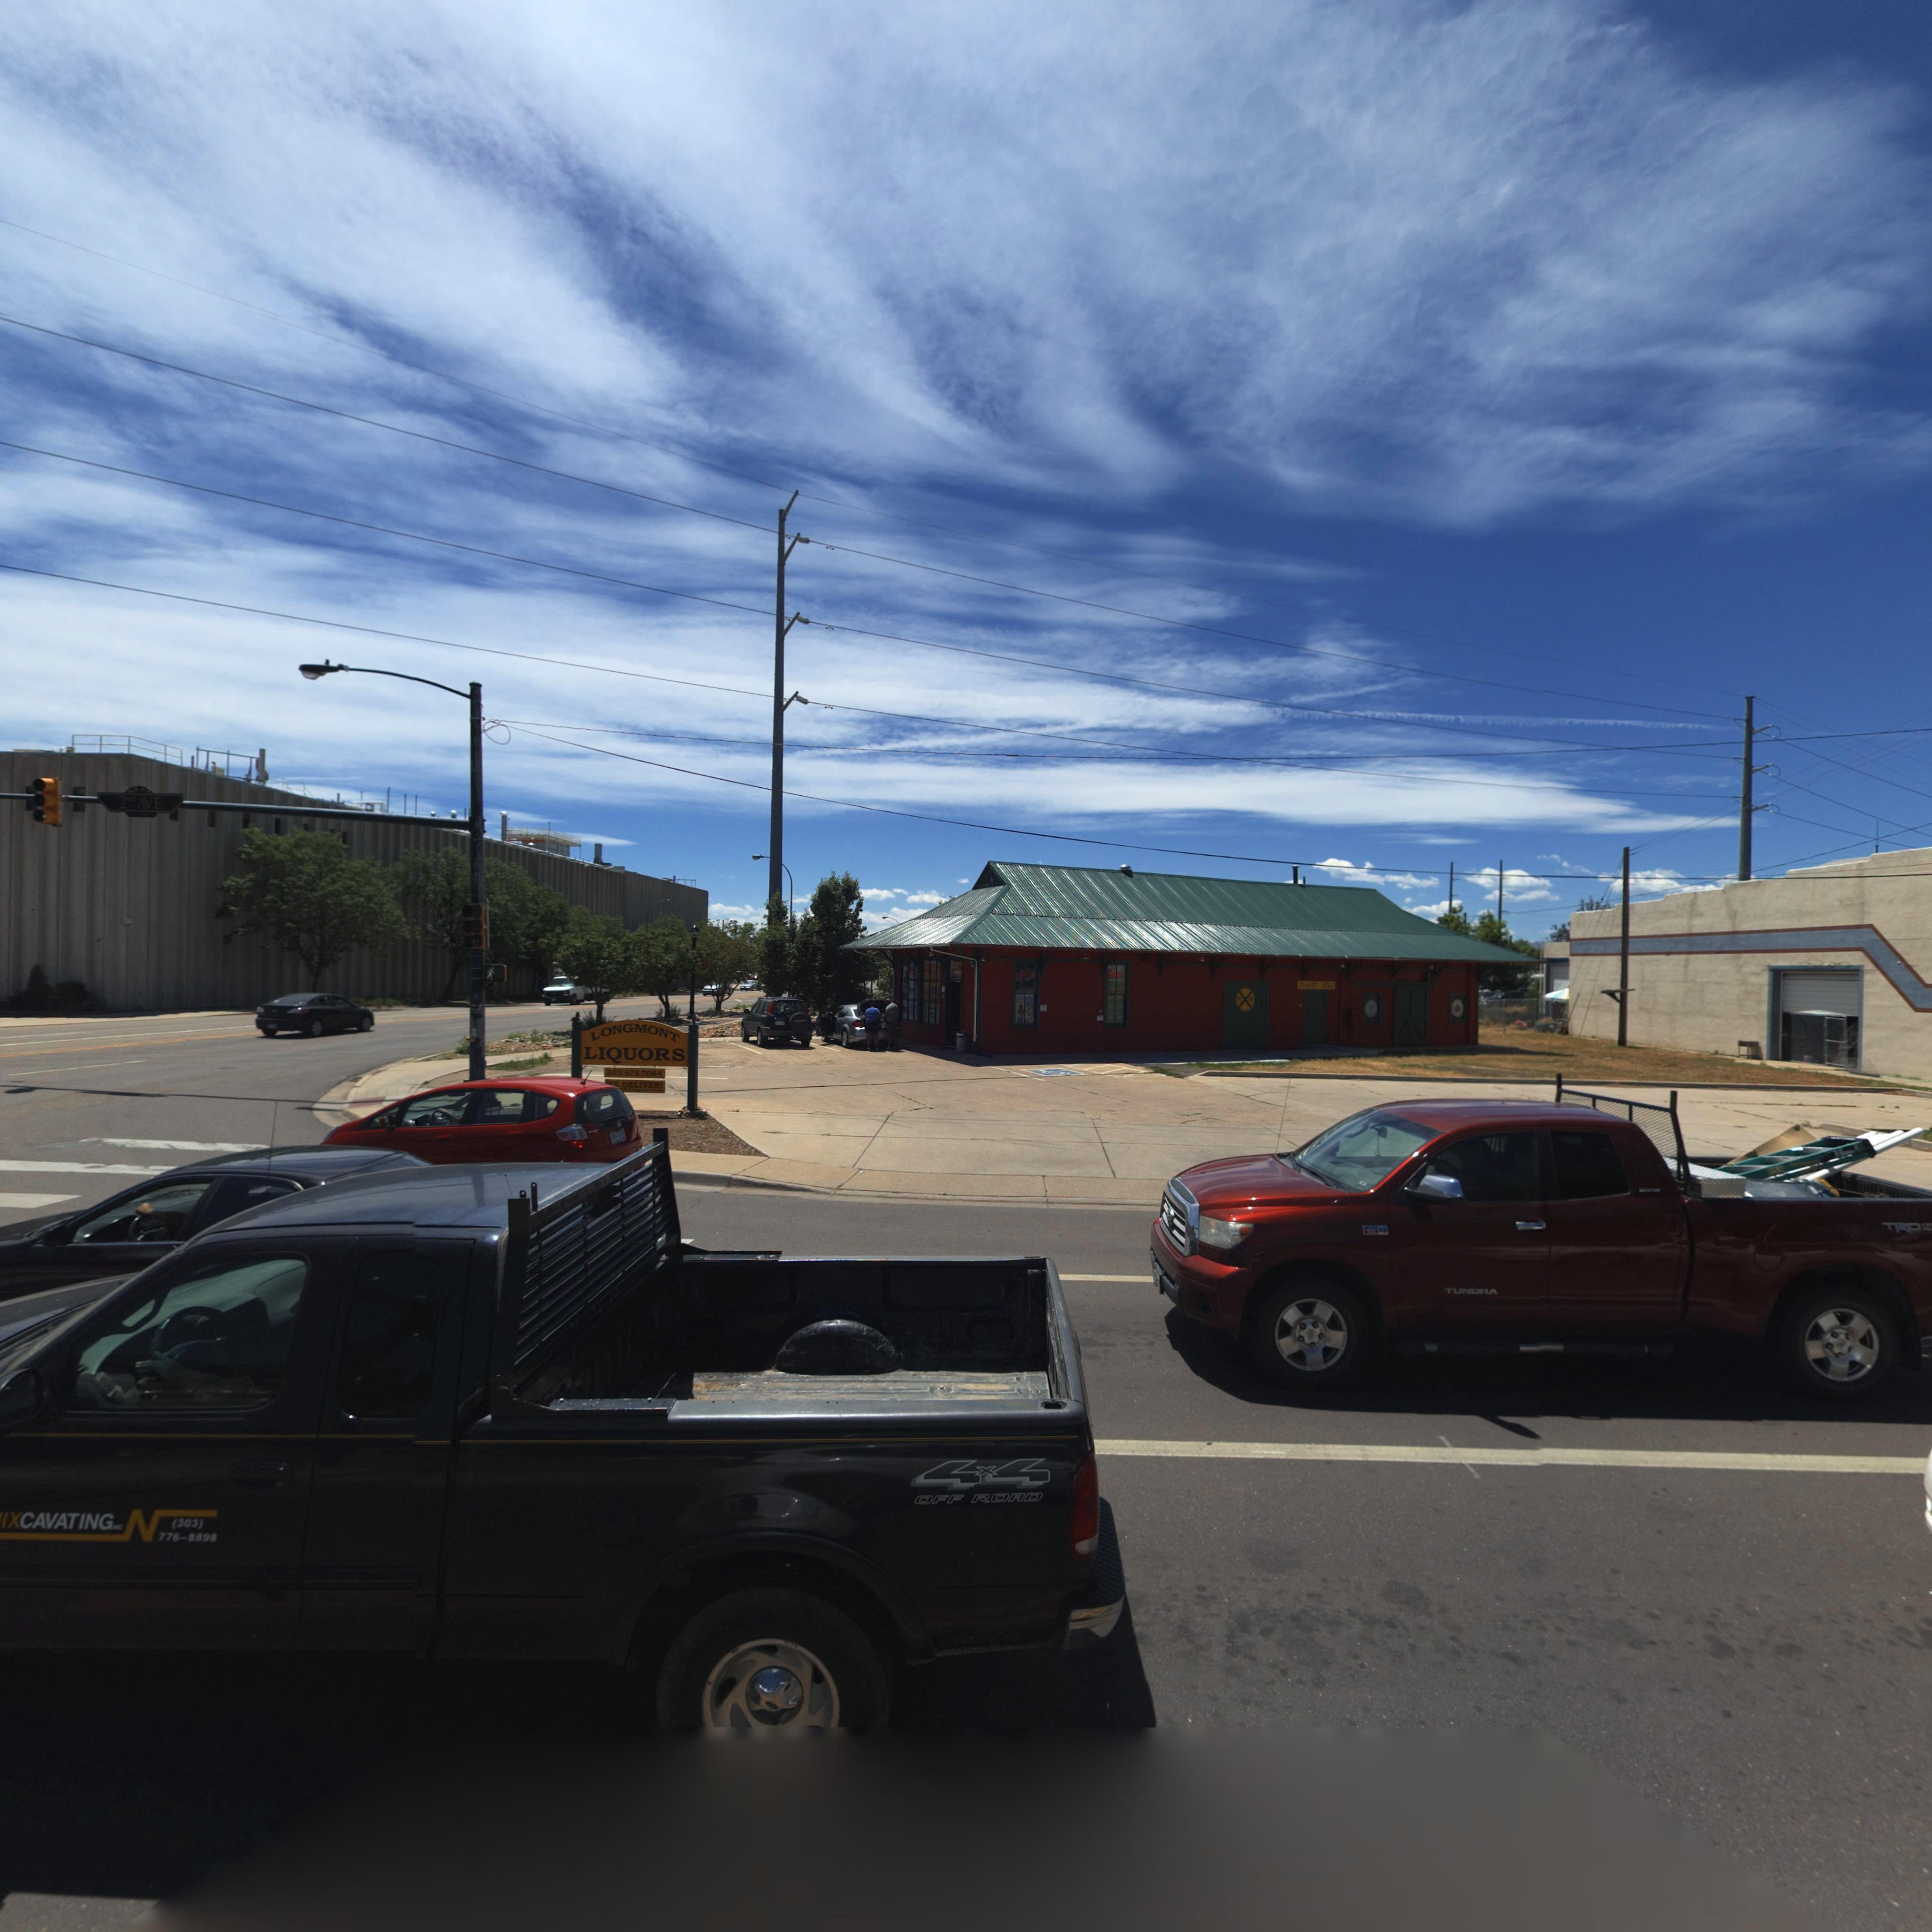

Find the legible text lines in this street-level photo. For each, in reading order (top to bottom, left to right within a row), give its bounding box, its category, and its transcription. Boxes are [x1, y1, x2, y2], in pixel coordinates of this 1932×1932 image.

[589, 1023, 680, 1043] BusinessName: LONGMONT
[583, 1046, 686, 1062] BusinessName: LIQUORS